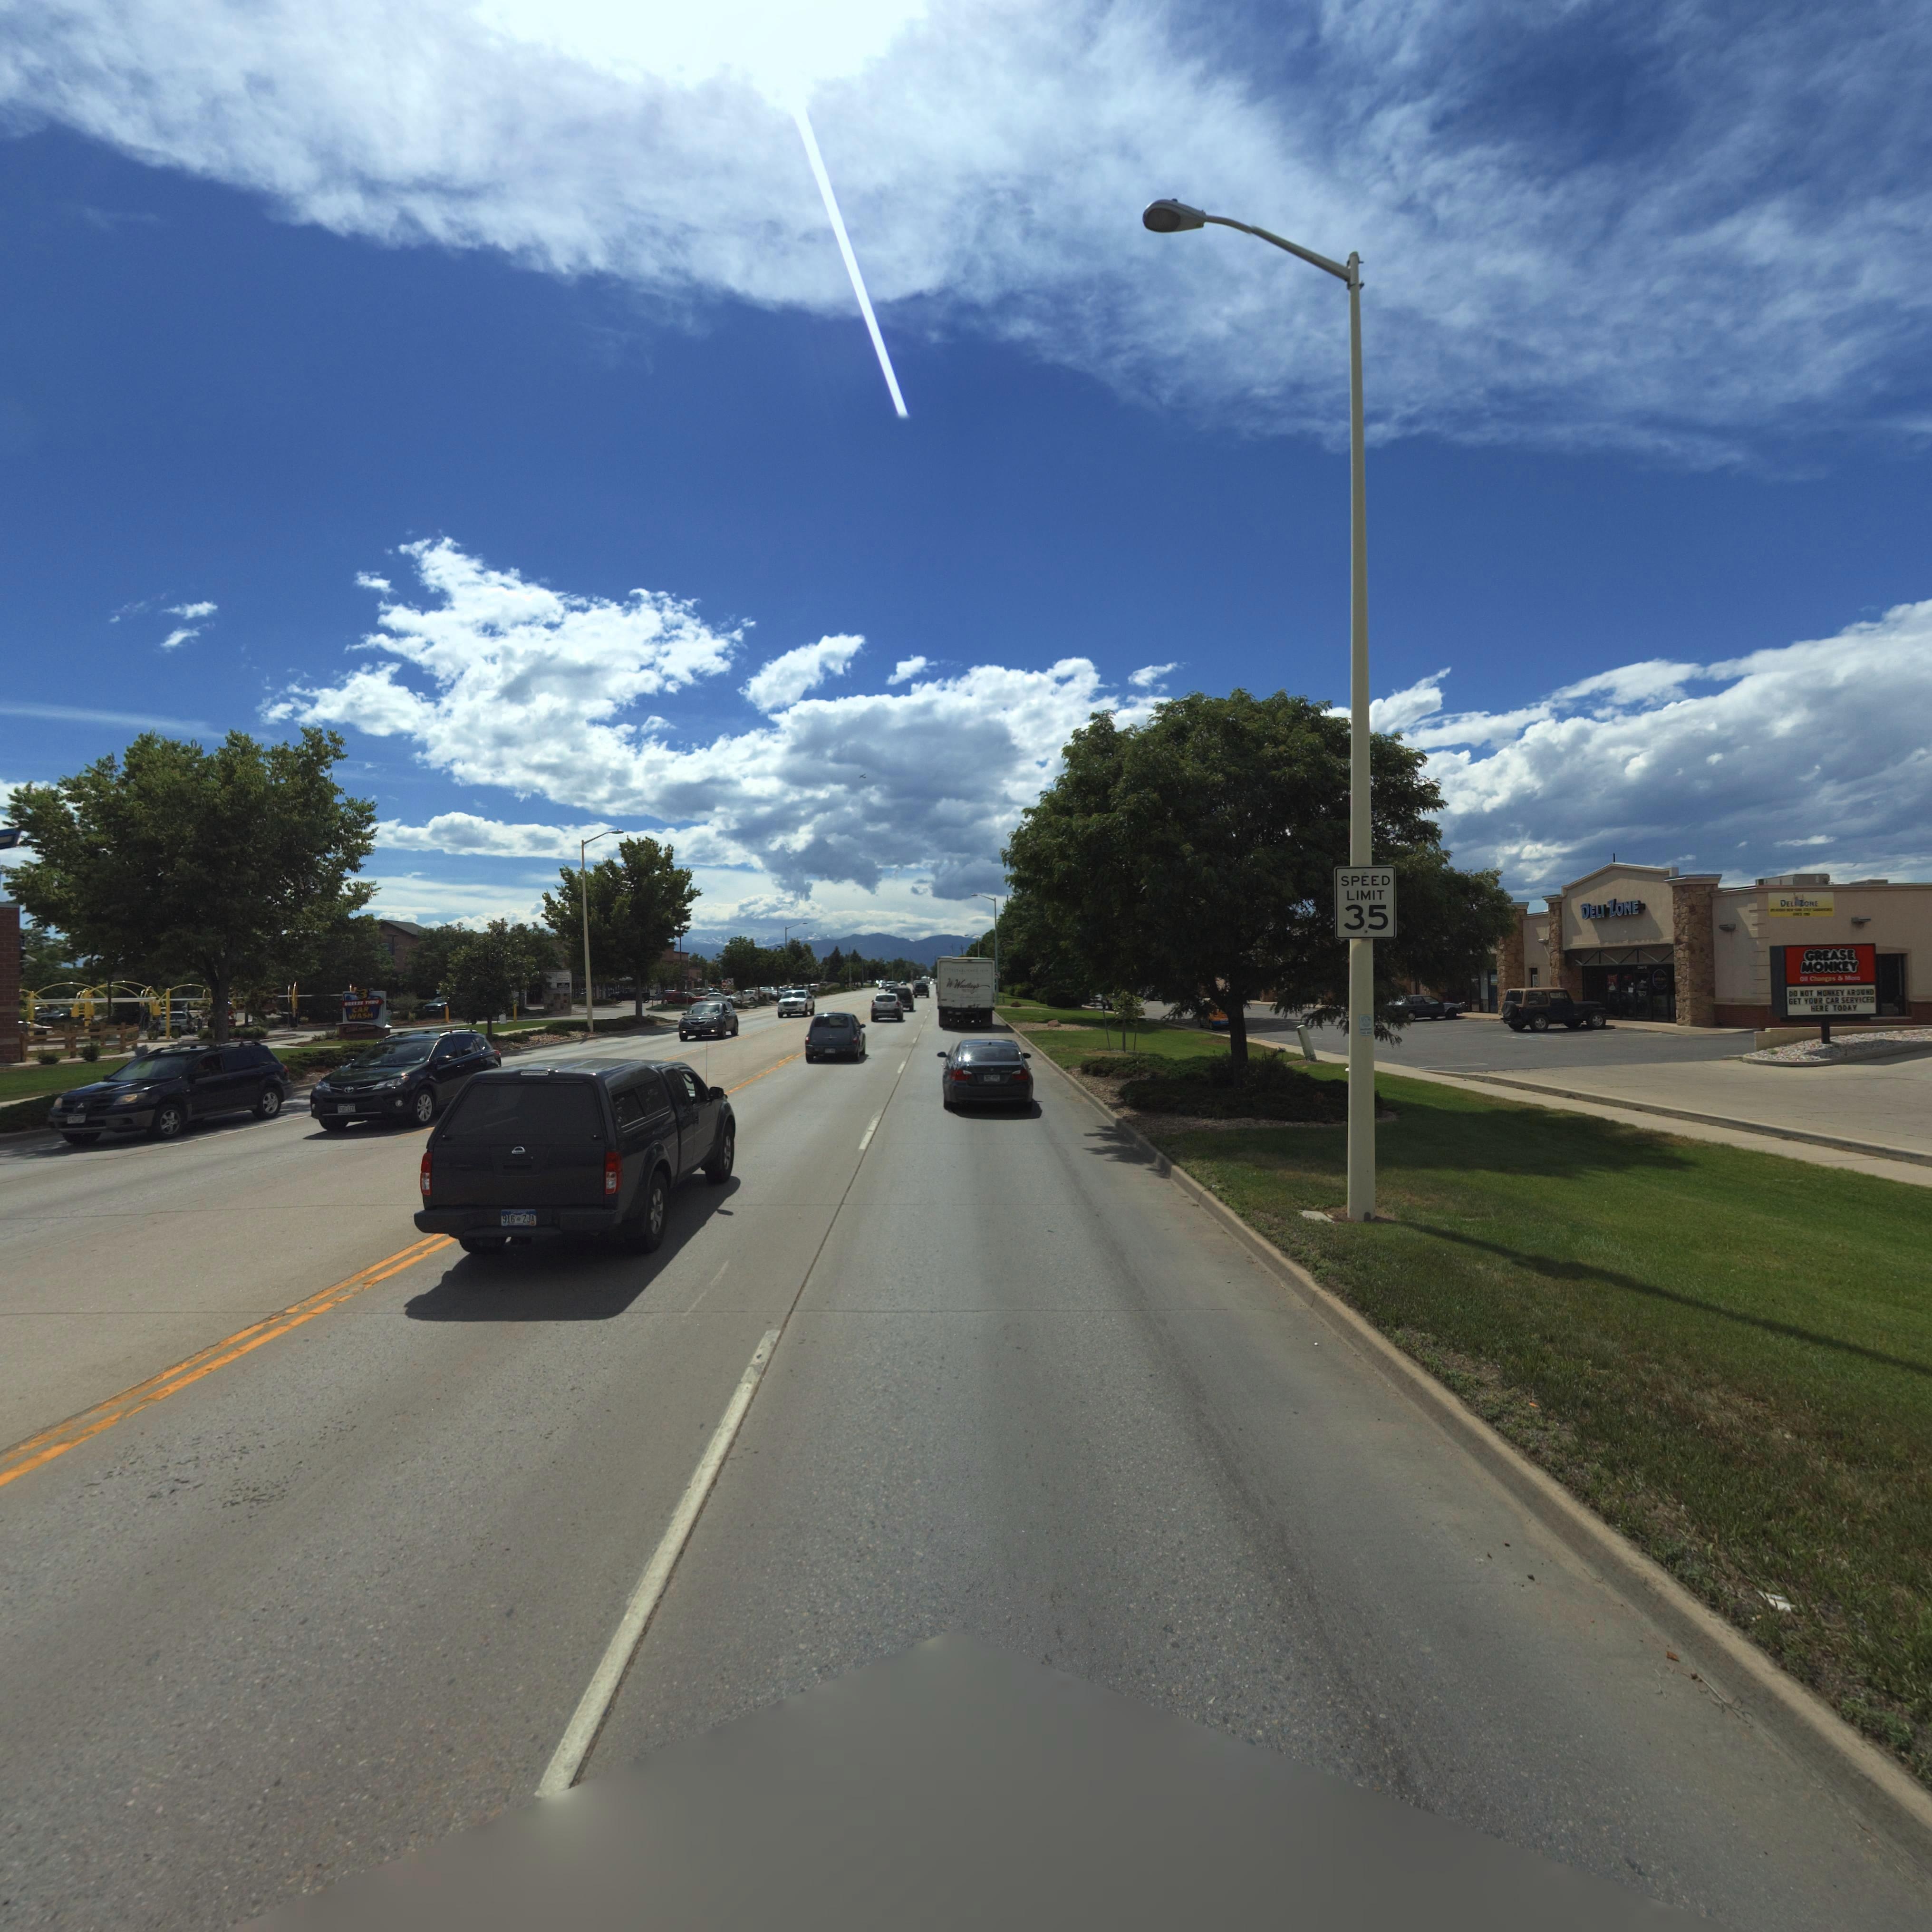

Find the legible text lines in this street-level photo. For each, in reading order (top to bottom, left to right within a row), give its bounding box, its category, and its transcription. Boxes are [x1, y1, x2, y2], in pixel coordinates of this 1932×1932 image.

[1780, 899, 1818, 907] BusinessName: DELI ZONE
[1580, 898, 1640, 920] BusinessName: DELI ZONE
[1803, 948, 1855, 961] BusinessName: GREASE
[1799, 959, 1859, 974] BusinessName: MONKEY
[344, 999, 379, 1006] BusinessName: BREEZE THRU
[351, 1005, 369, 1013] BusinessName: CAR
[347, 1012, 373, 1020] BusinessName: WASH